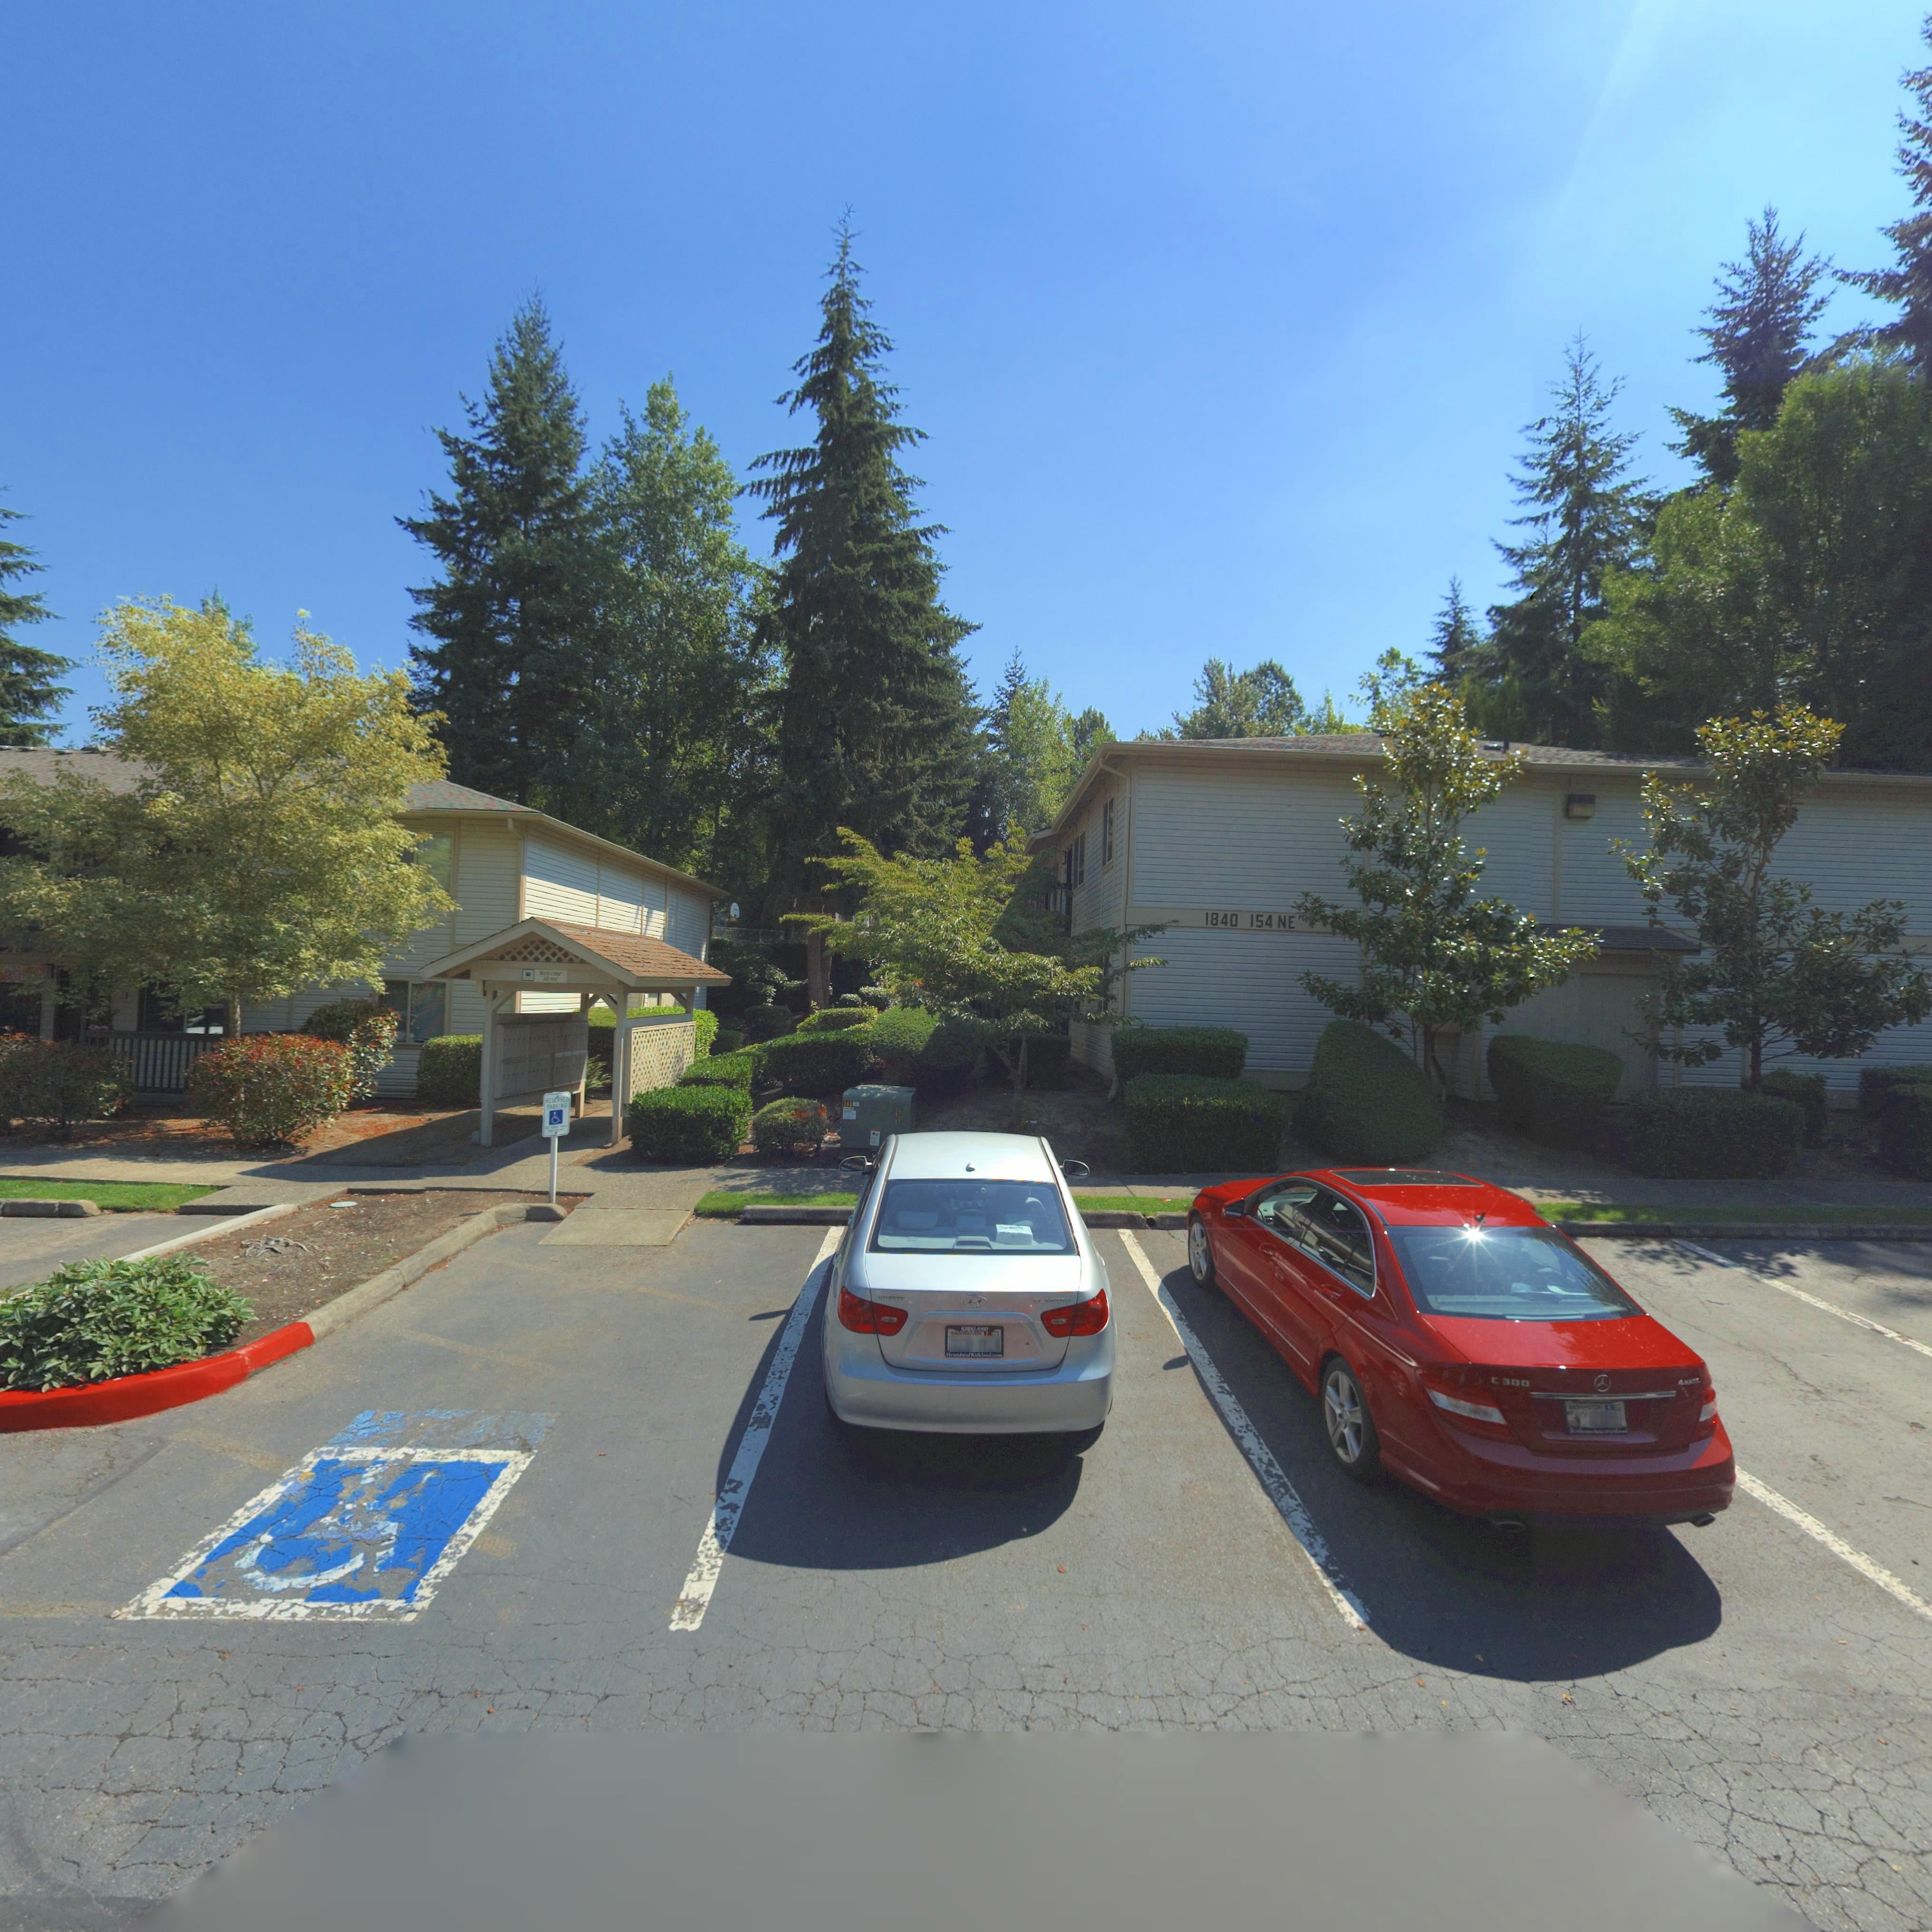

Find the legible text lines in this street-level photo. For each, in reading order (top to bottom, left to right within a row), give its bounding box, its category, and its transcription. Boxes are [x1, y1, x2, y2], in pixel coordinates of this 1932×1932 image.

[1204, 911, 1296, 929] StreetNumber: 1840 154 NE